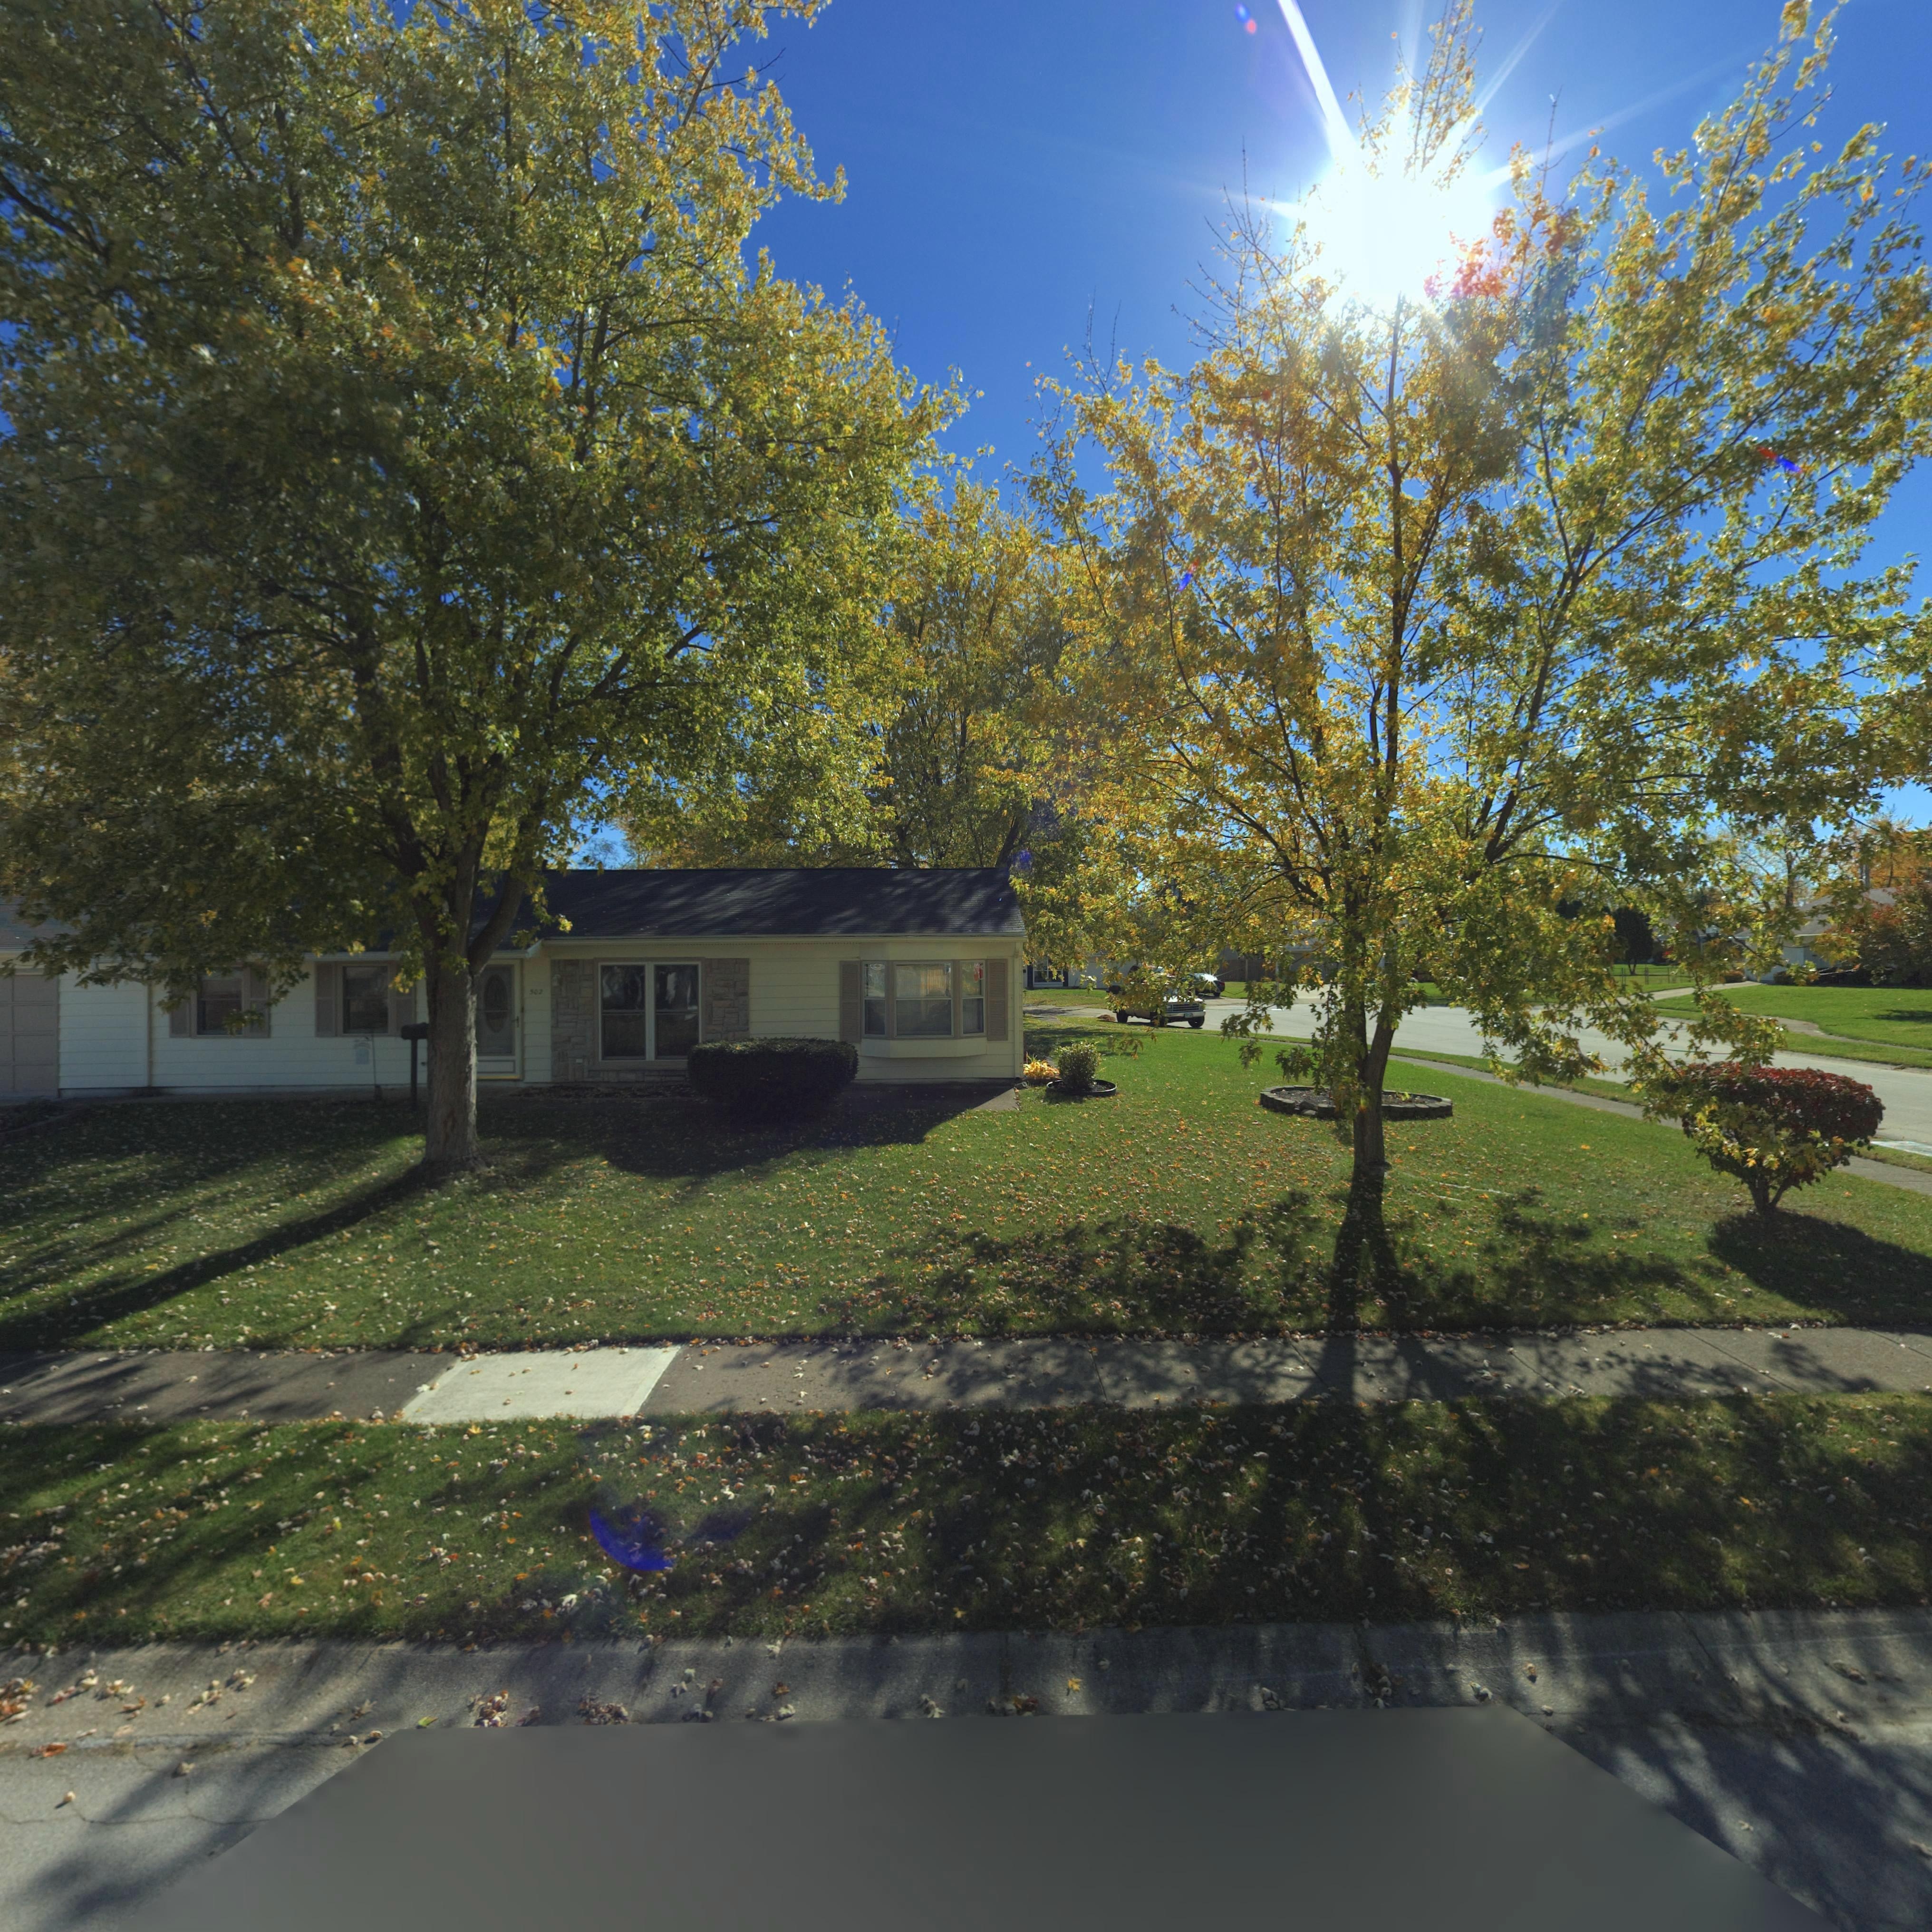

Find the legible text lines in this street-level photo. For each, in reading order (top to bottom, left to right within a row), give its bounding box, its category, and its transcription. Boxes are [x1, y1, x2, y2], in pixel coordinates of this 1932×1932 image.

[529, 988, 543, 995] StreetNumber: 502